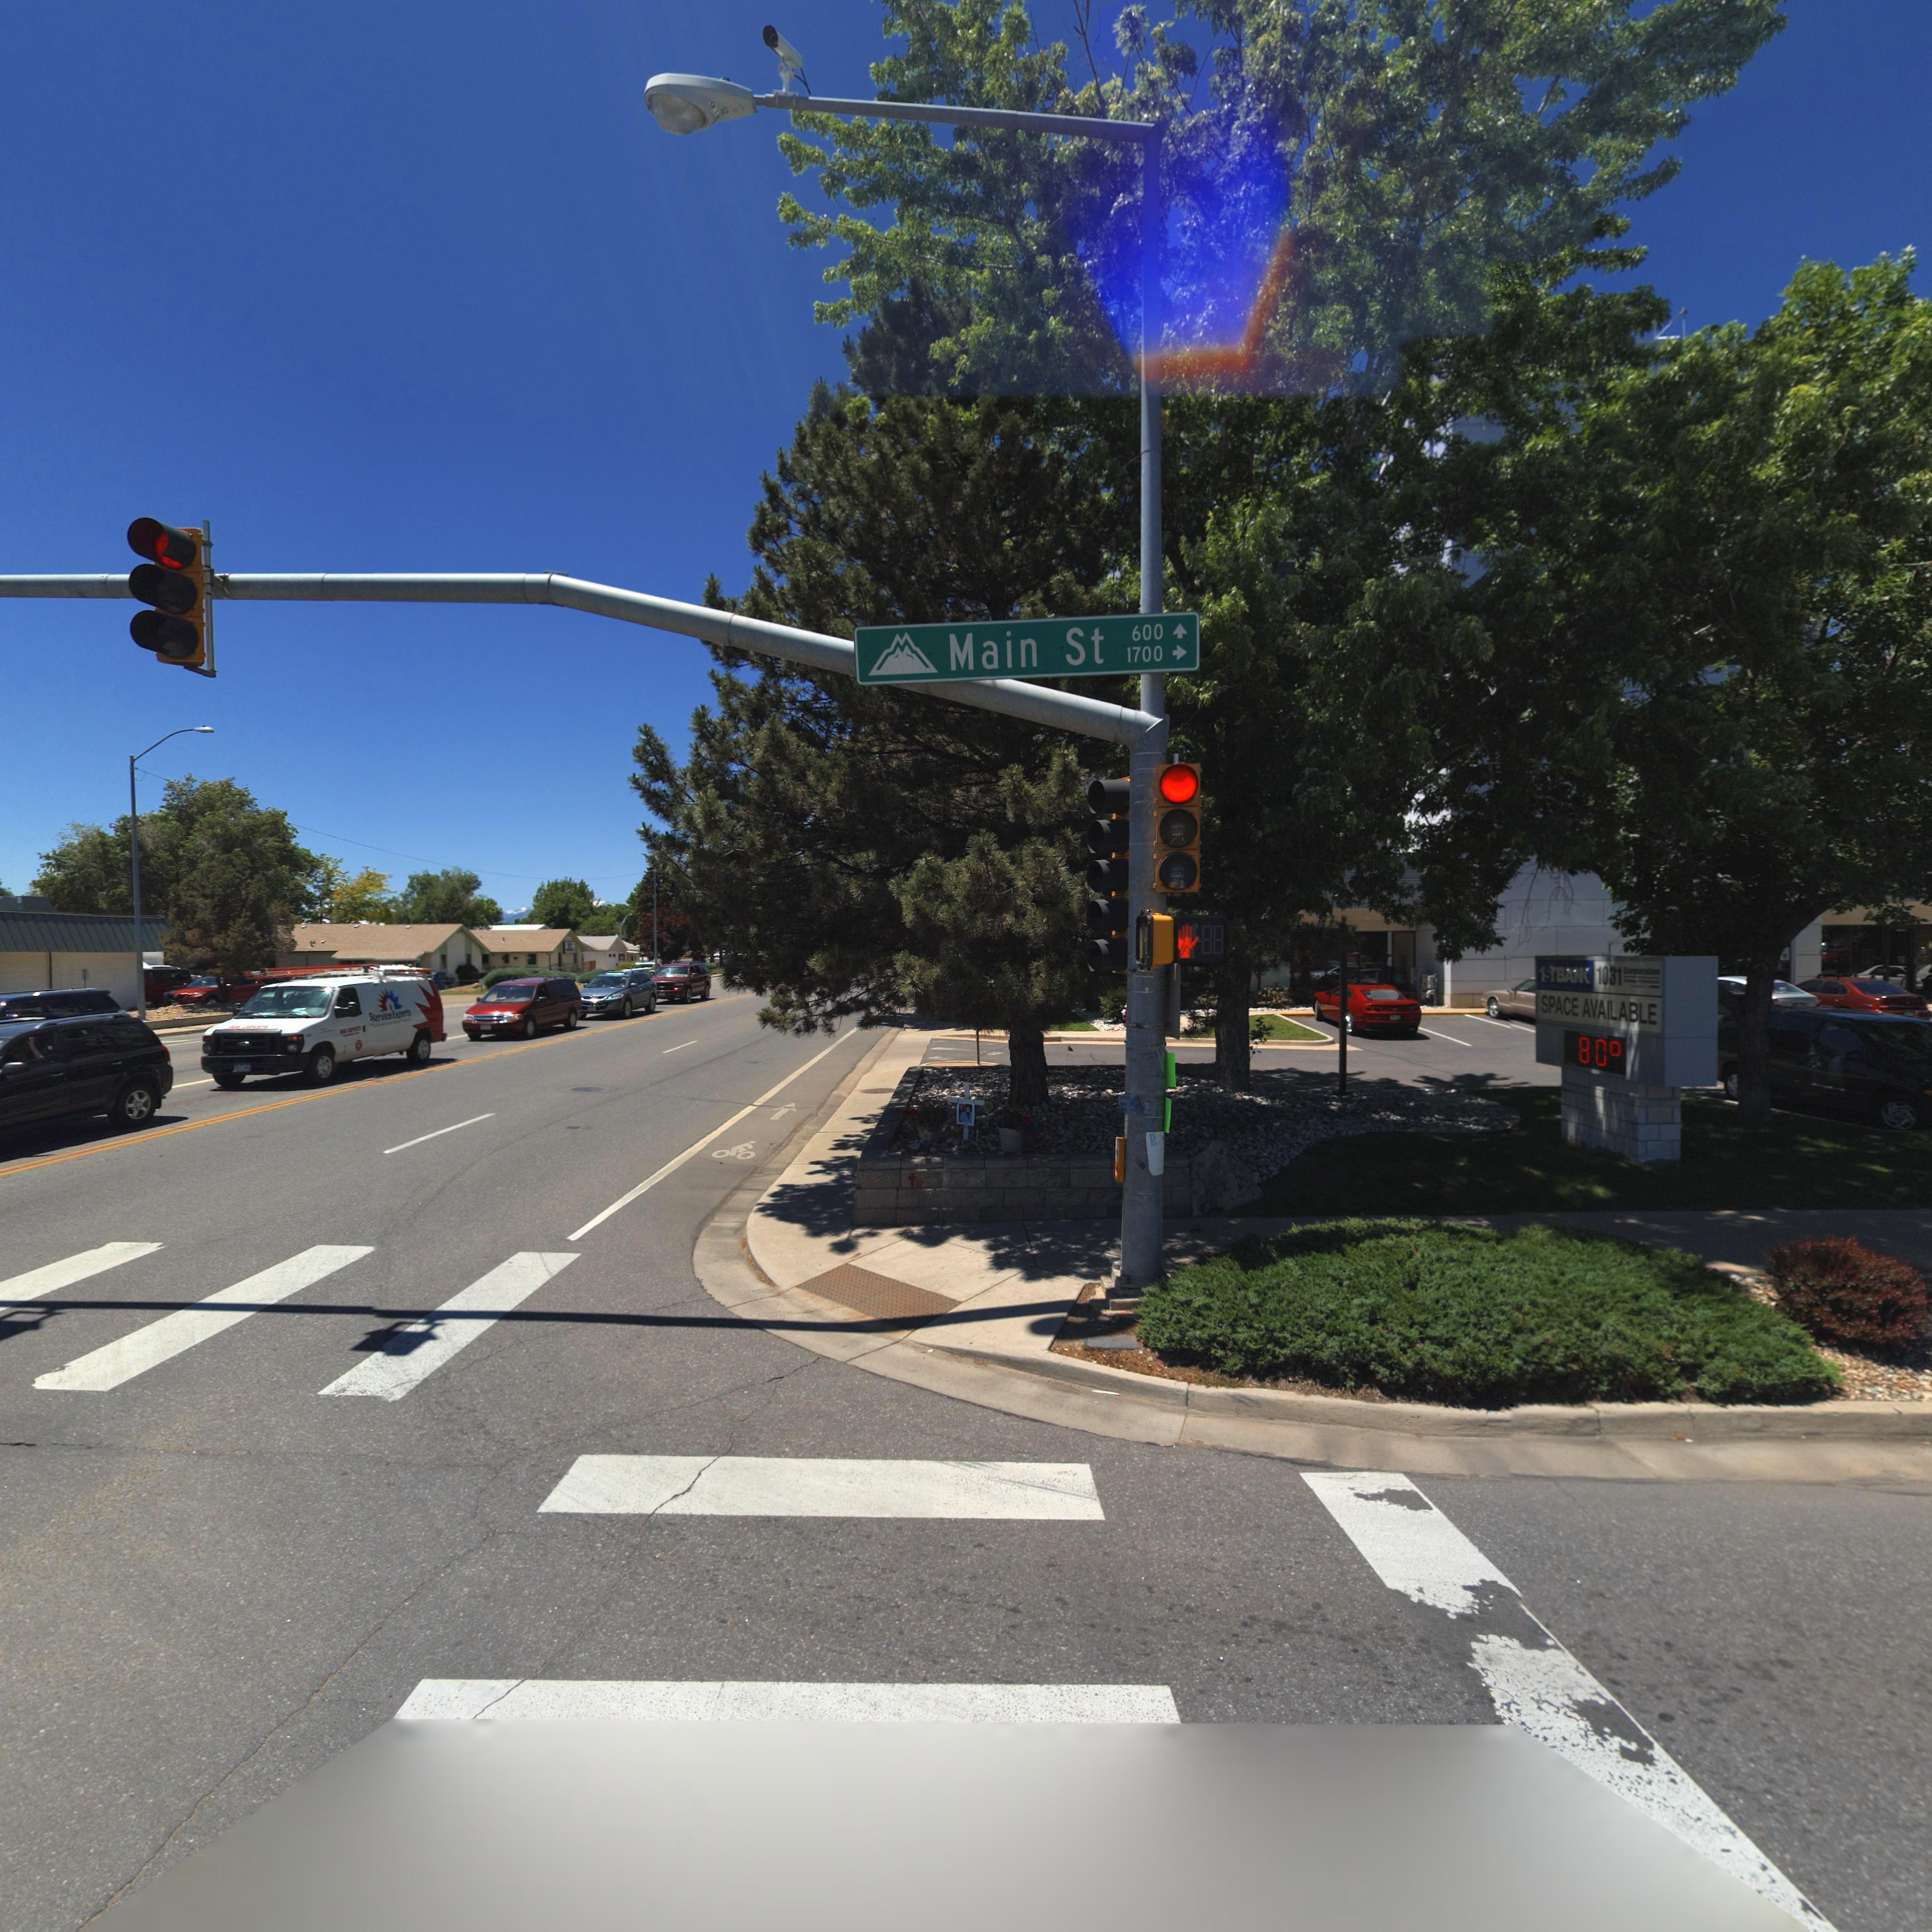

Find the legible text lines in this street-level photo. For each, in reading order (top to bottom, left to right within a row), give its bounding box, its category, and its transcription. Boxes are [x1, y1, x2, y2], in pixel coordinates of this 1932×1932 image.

[1131, 623, 1163, 641] StreetNumberRange: 600
[948, 624, 1105, 671] StreetName: Main St
[1126, 643, 1188, 664] StreetNumberRange: 1700 ->
[1538, 965, 1591, 984] BusinessName: 1S* BA*K
[1596, 965, 1623, 986] BusinessName: 1031
[1623, 966, 1661, 976] BusinessName: Corporation